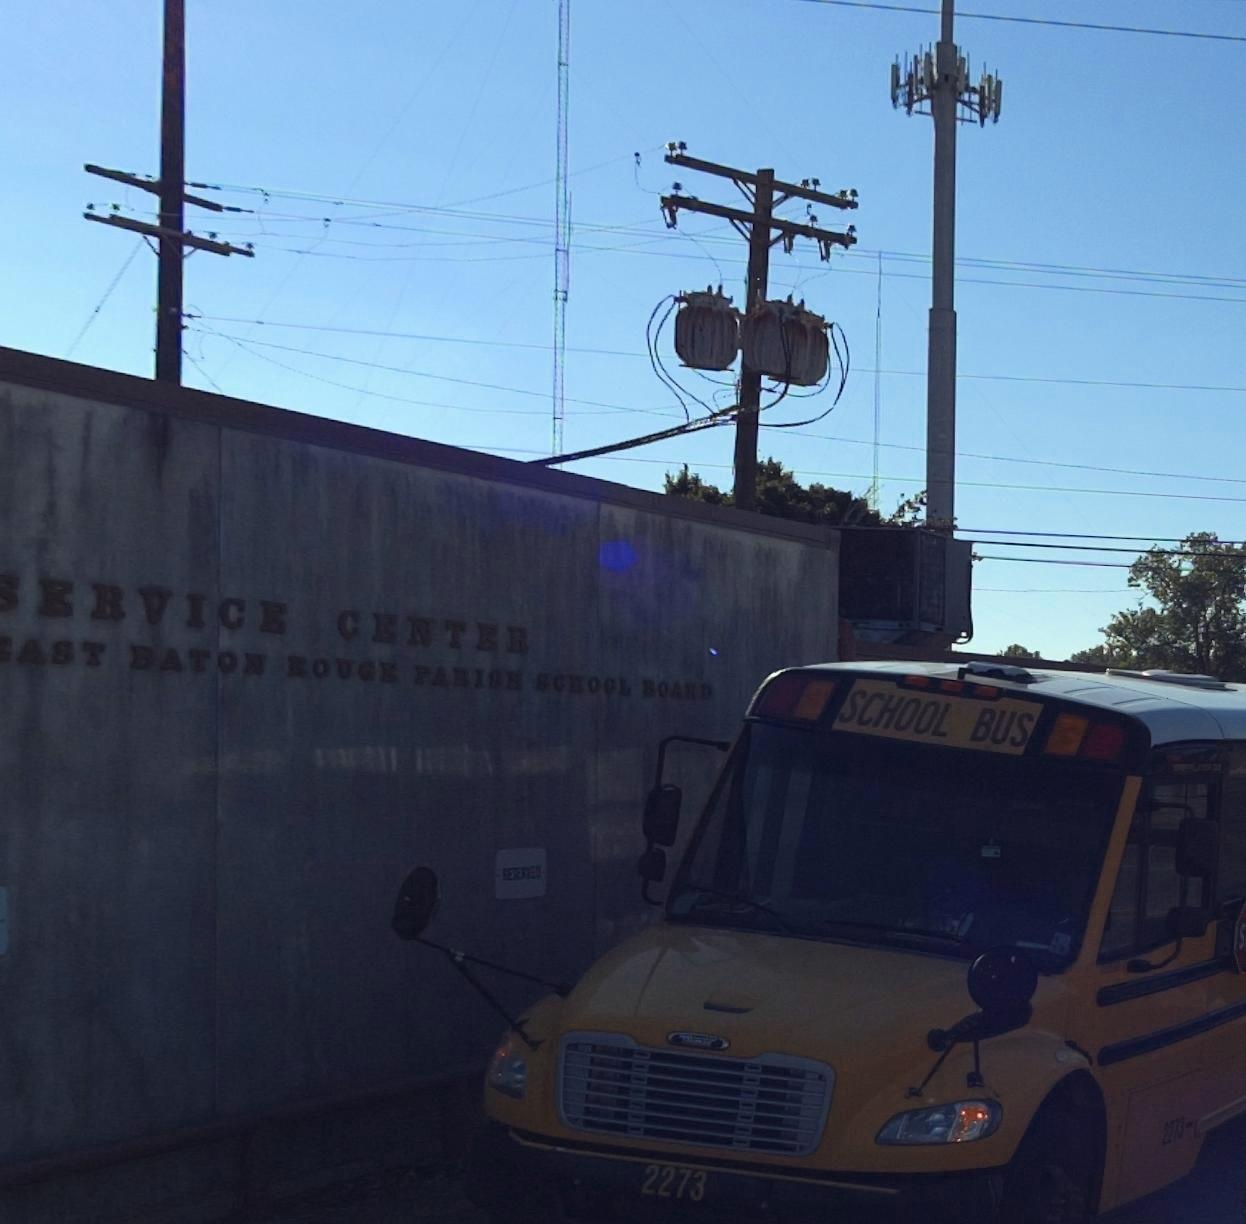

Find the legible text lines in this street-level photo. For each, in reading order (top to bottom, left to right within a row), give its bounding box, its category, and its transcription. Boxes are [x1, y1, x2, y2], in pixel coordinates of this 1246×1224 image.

[34, 571, 536, 660] BusinessName: ERVICE CENTER
[11, 632, 719, 705] BusinessName: AST BATON ROUGE RAISH SCHOOL BOARD
[833, 685, 1042, 752] None: SCHOOL BUS
[1158, 1111, 1187, 1150] None: 2273
[635, 1159, 715, 1206] None: 2273